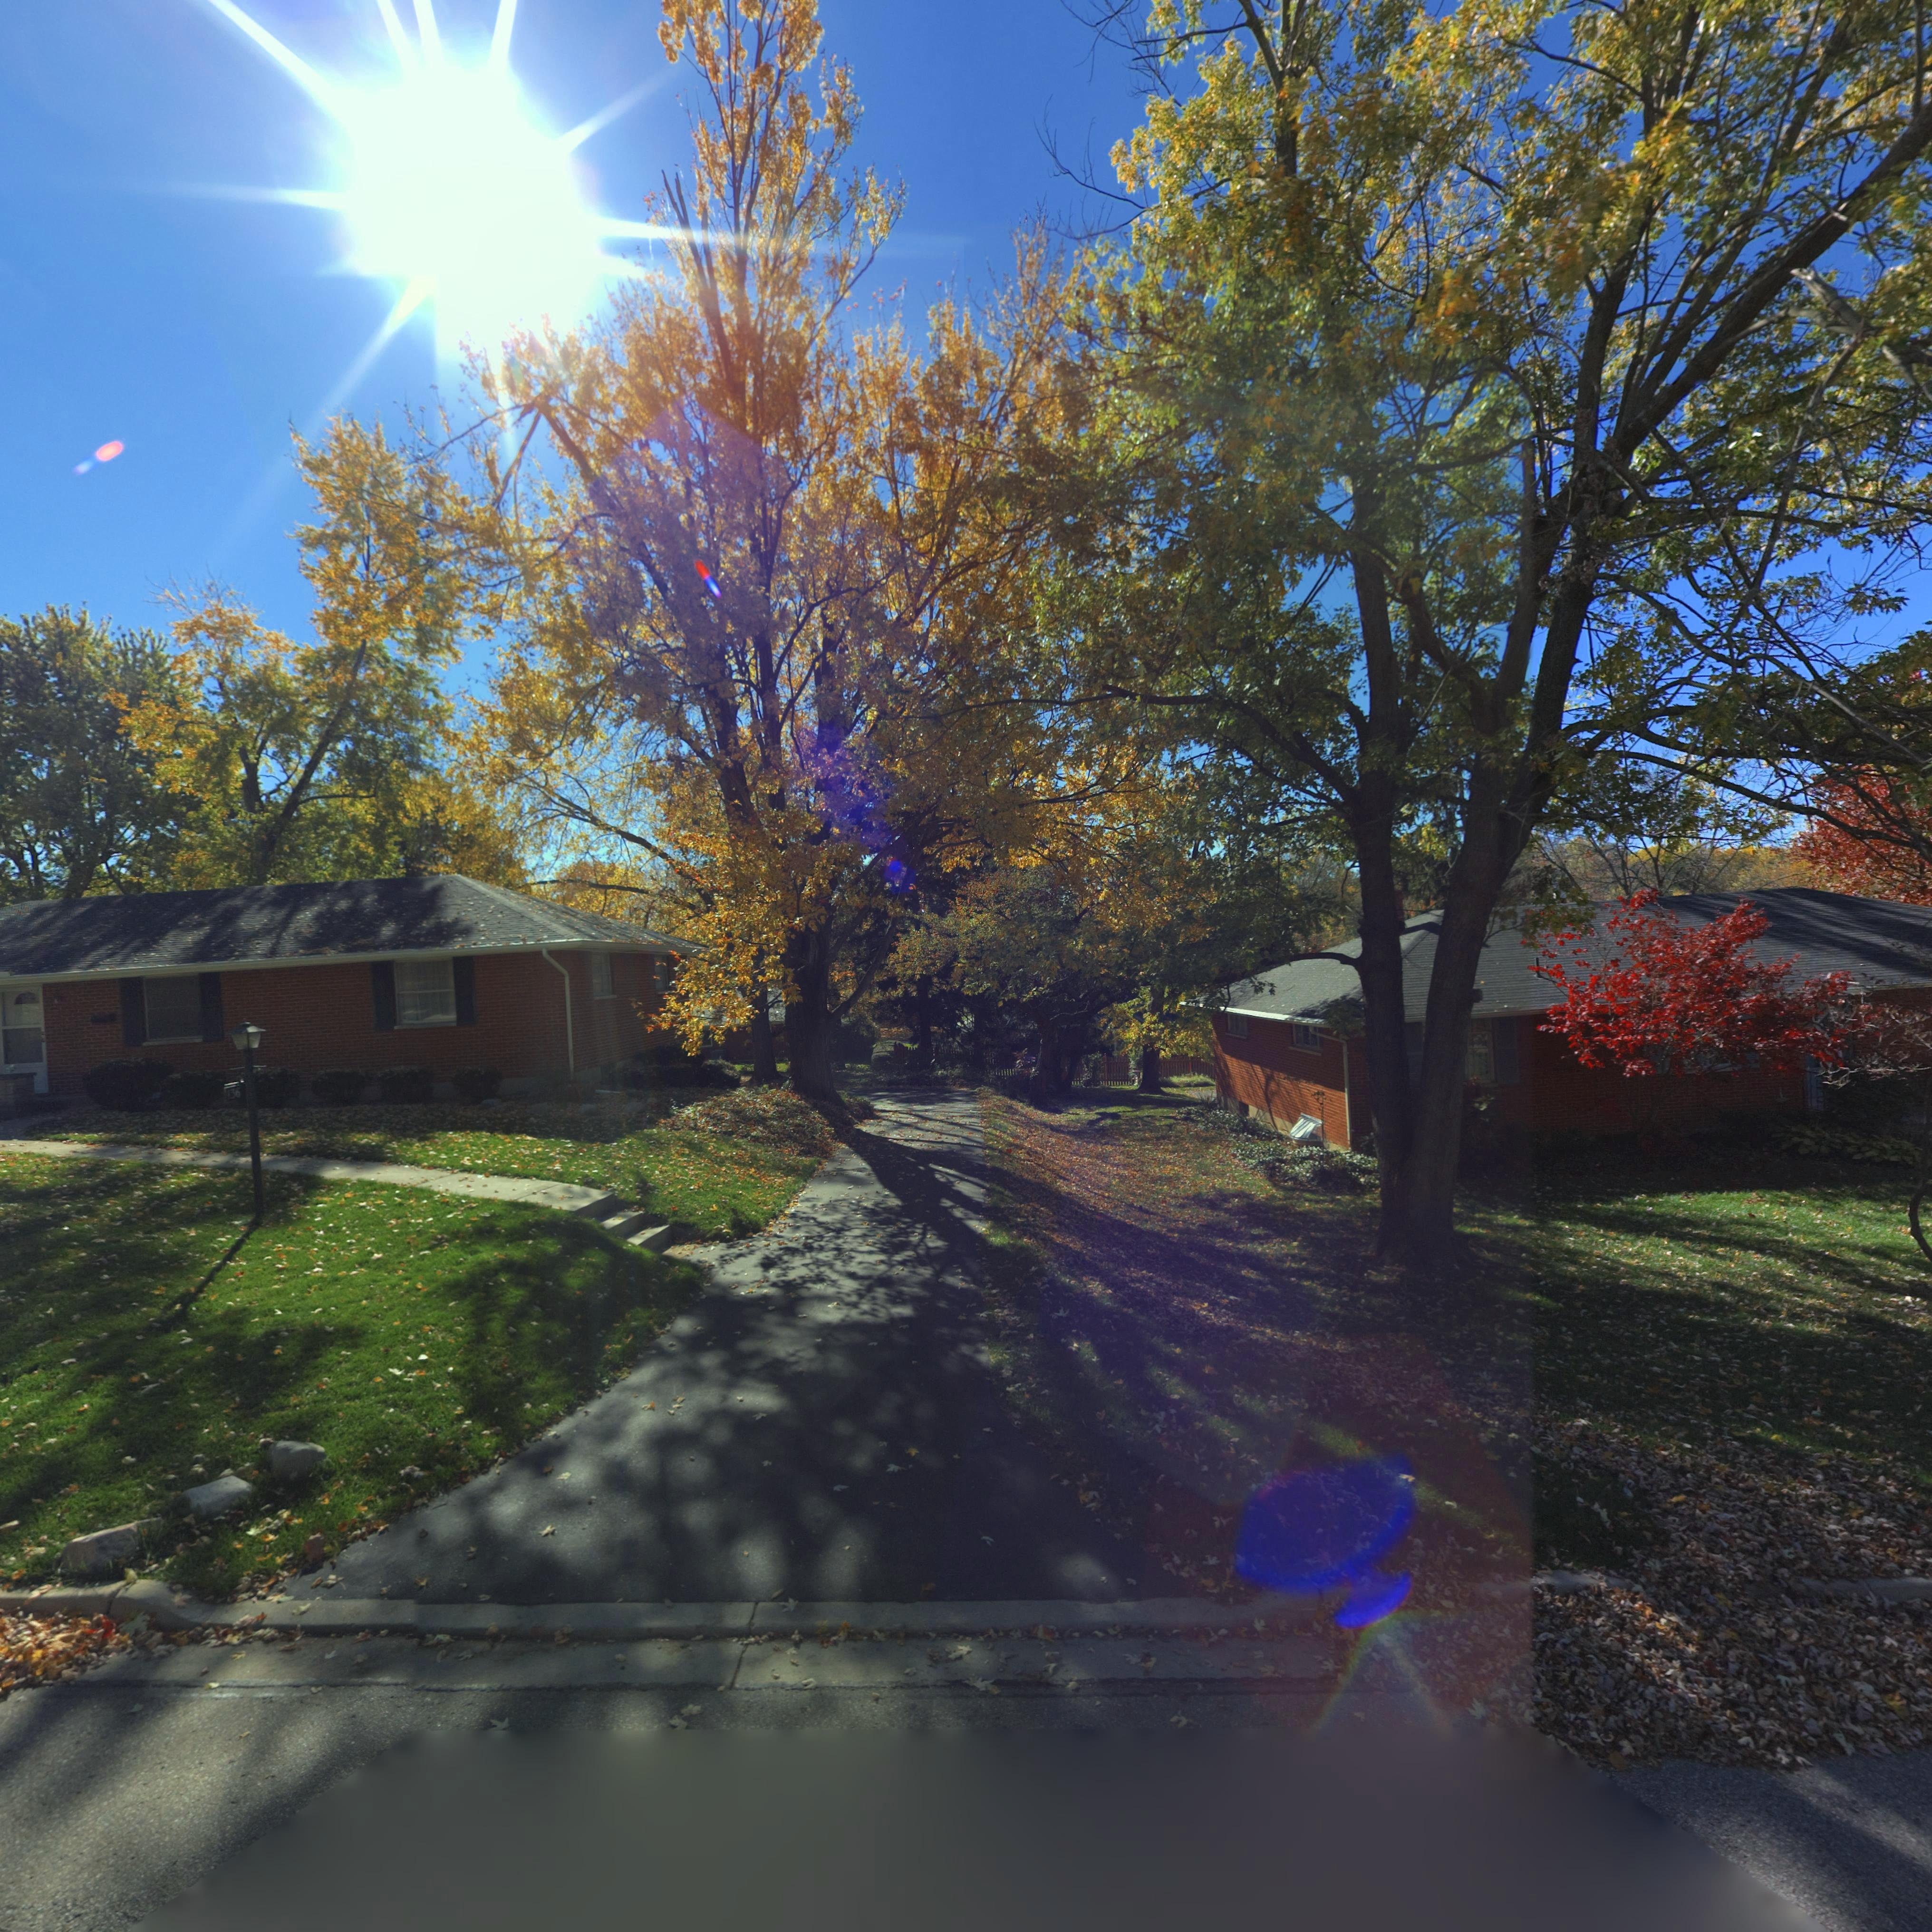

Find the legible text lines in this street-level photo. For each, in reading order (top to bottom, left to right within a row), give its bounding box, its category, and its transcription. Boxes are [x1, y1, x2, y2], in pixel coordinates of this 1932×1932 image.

[226, 1086, 241, 1101] StreetNumber: 136